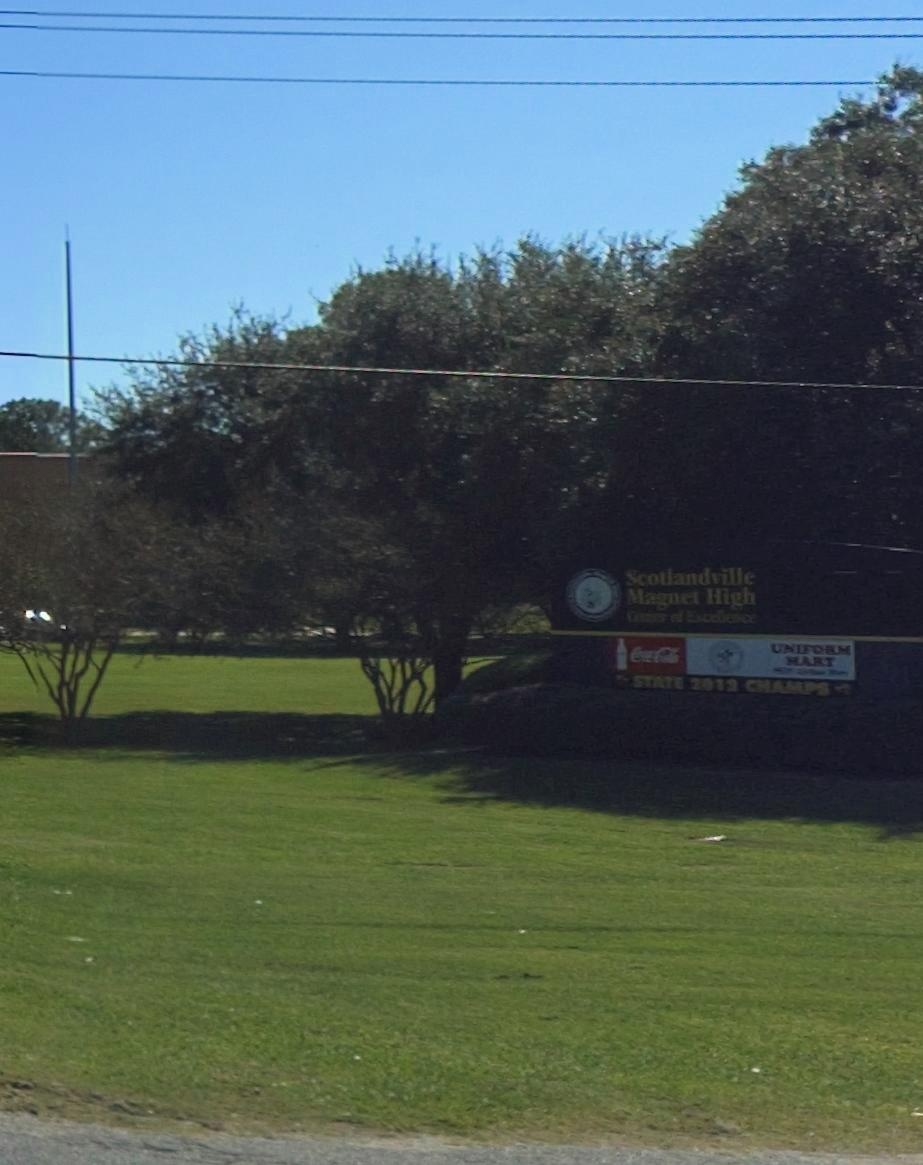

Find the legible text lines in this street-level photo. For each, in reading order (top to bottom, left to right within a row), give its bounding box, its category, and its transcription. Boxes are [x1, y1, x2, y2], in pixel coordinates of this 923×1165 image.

[624, 565, 758, 588] BusinessName: Scotlandville
[624, 586, 758, 612] BusinessName: Magnet High
[628, 645, 681, 665] None: Coca-Cola
[770, 642, 852, 657] None: UNIFORM
[785, 653, 838, 669] None: MART
[632, 673, 832, 698] None: STATE 2012 CHAMPS